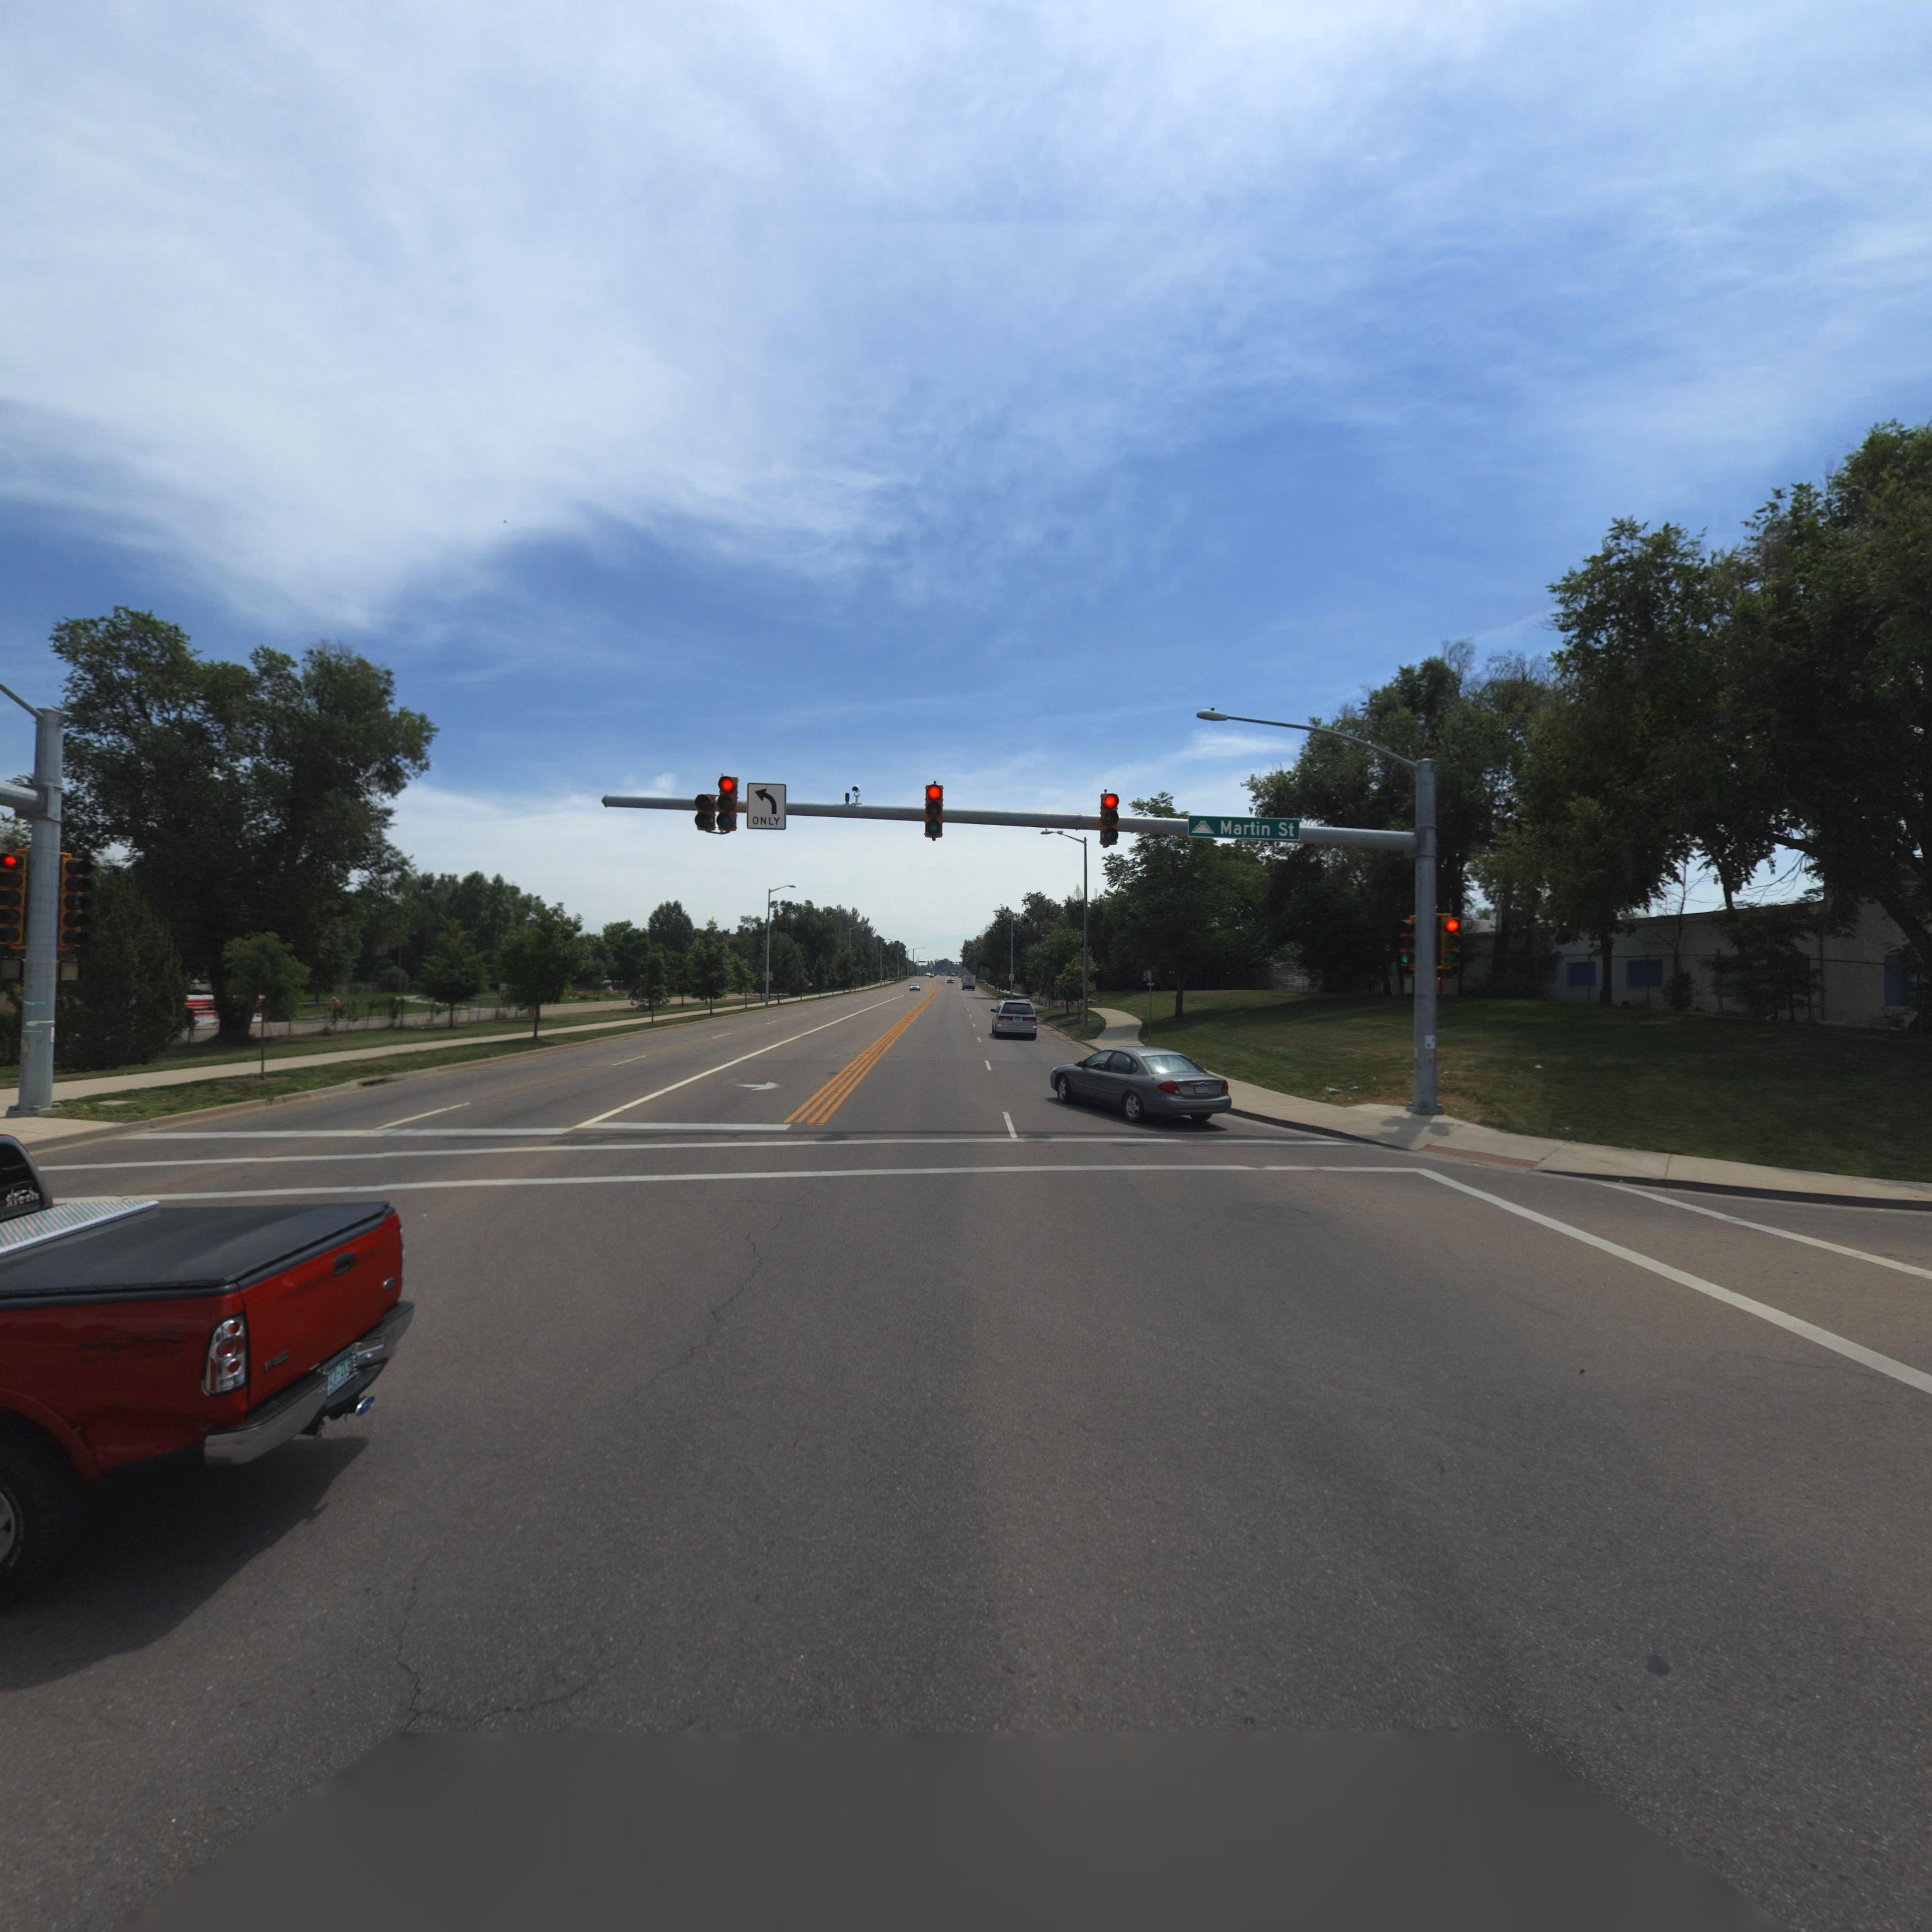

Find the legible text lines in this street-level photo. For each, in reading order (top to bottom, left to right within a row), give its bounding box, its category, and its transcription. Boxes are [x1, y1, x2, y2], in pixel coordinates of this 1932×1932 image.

[1219, 819, 1294, 838] StreetName: Martin St